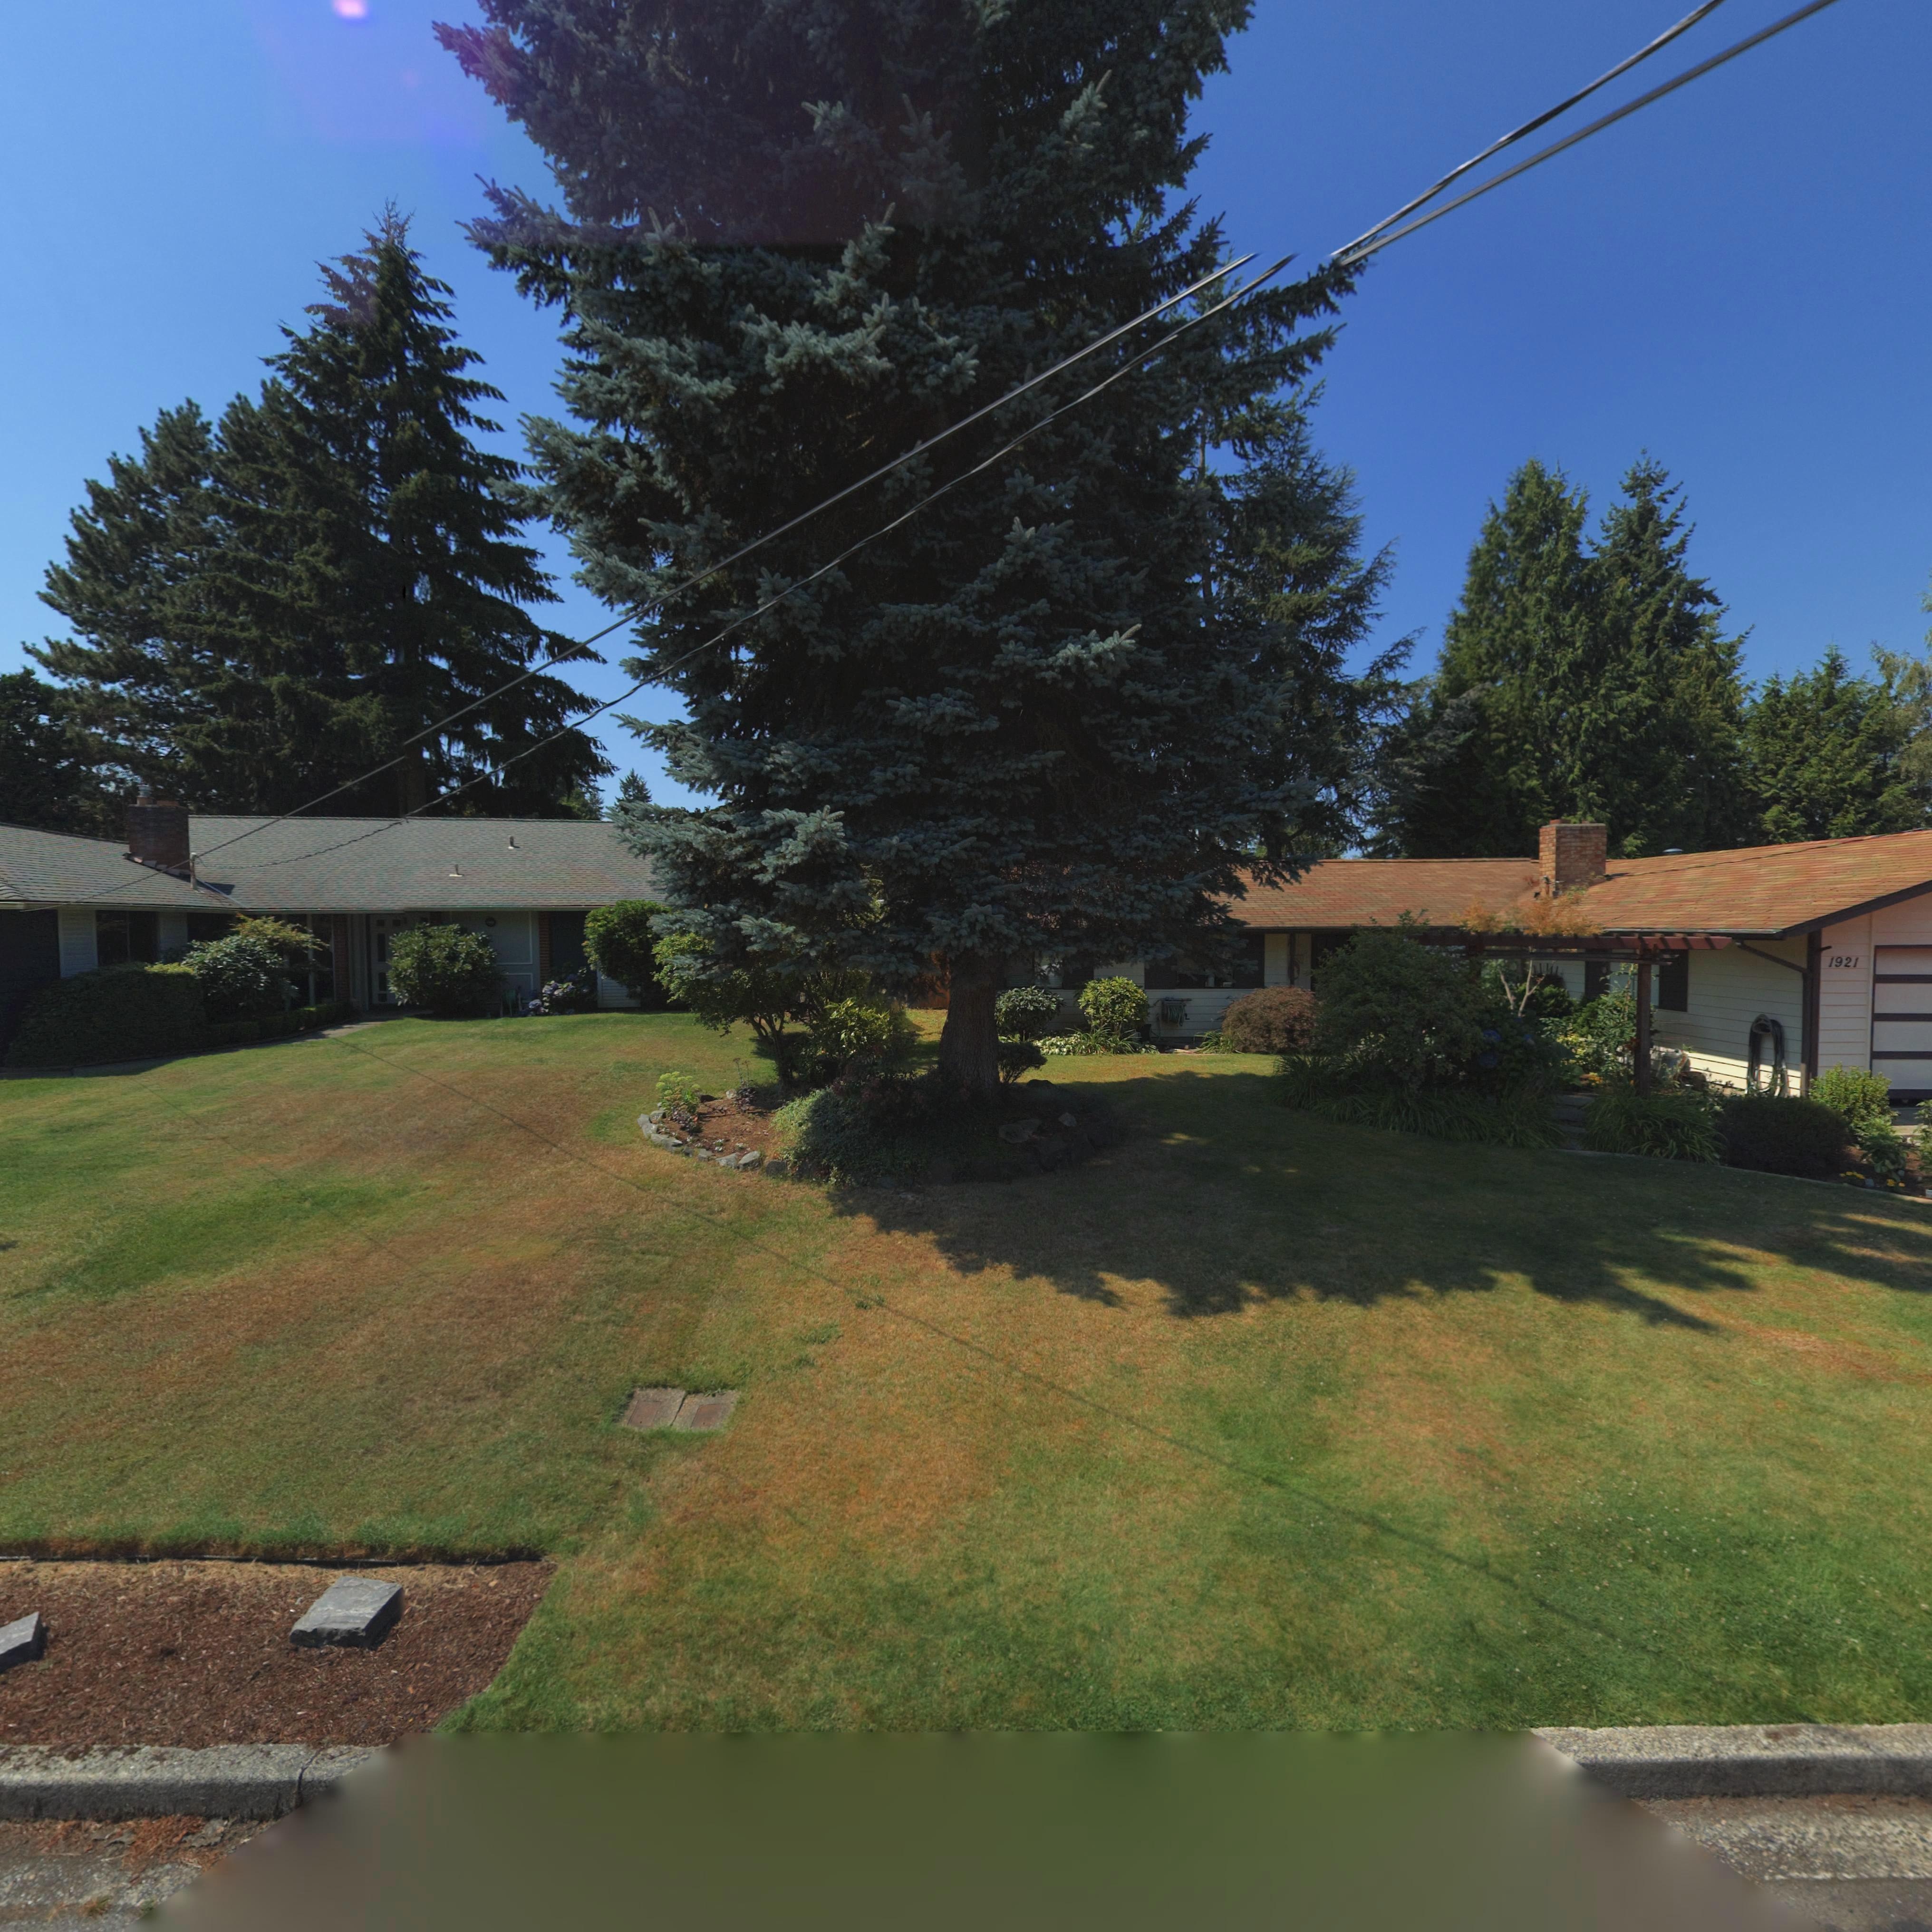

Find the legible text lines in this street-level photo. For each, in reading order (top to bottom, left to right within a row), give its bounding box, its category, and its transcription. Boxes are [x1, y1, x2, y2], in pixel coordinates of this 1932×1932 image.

[1827, 956, 1860, 968] StreetNumber: 1921